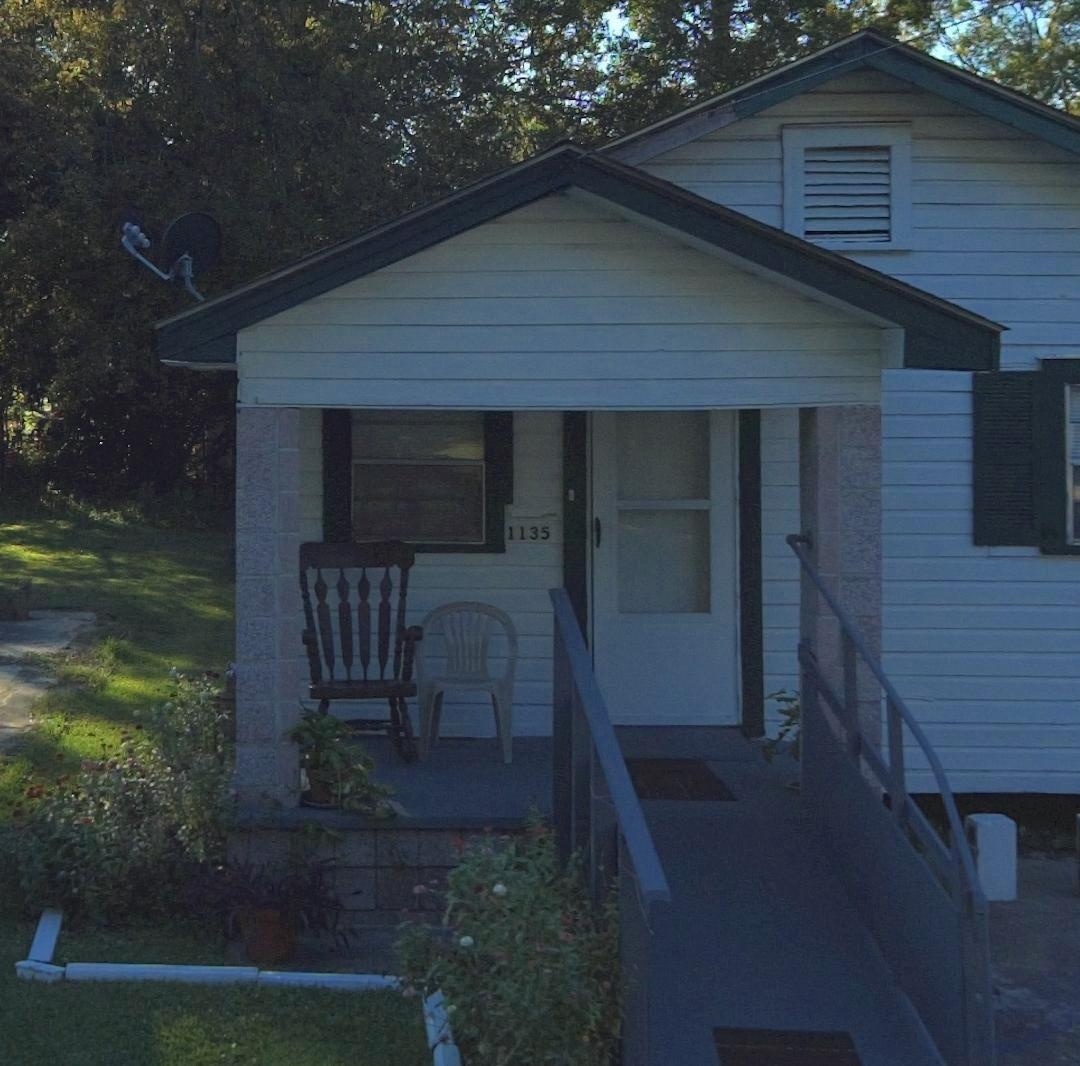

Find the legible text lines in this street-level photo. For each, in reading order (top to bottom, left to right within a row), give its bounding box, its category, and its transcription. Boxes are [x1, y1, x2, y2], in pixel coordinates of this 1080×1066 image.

[506, 524, 552, 542] StreetNumber: 1135